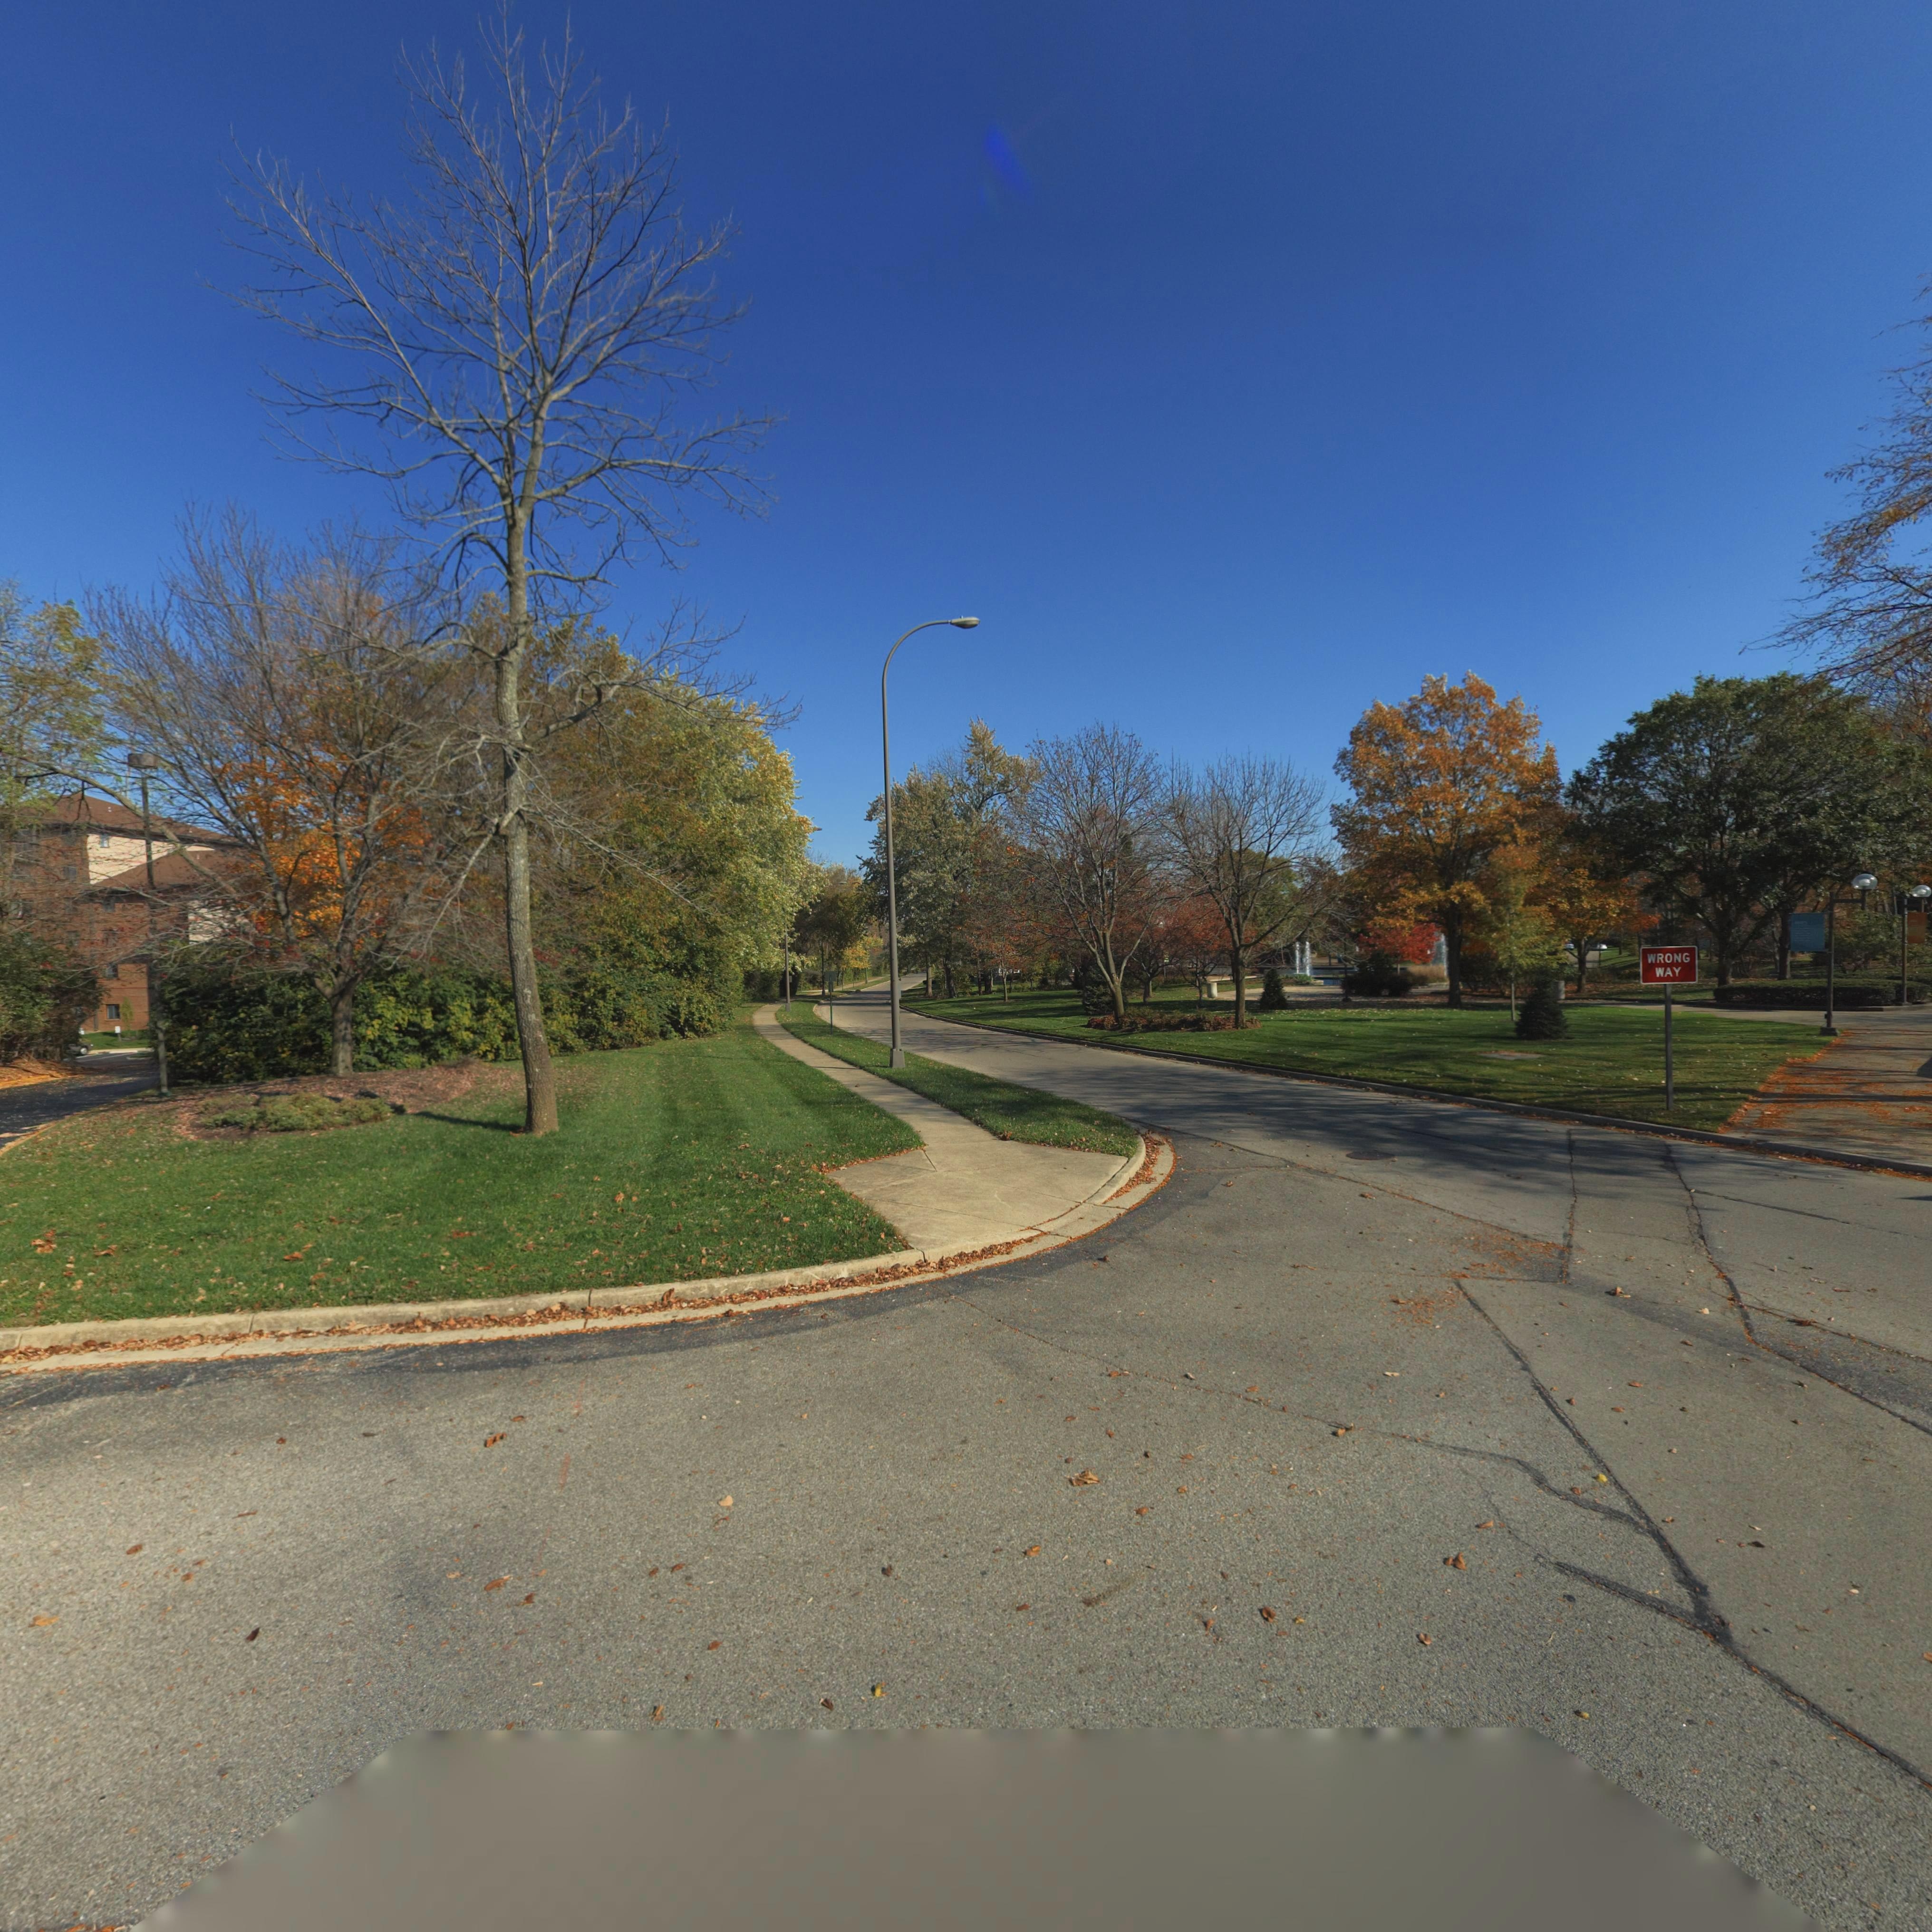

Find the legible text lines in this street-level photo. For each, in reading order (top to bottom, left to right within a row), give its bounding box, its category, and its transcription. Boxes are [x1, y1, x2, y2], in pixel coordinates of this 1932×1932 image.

[1646, 952, 1691, 965] None: WRONG
[1654, 966, 1682, 978] None: WAY